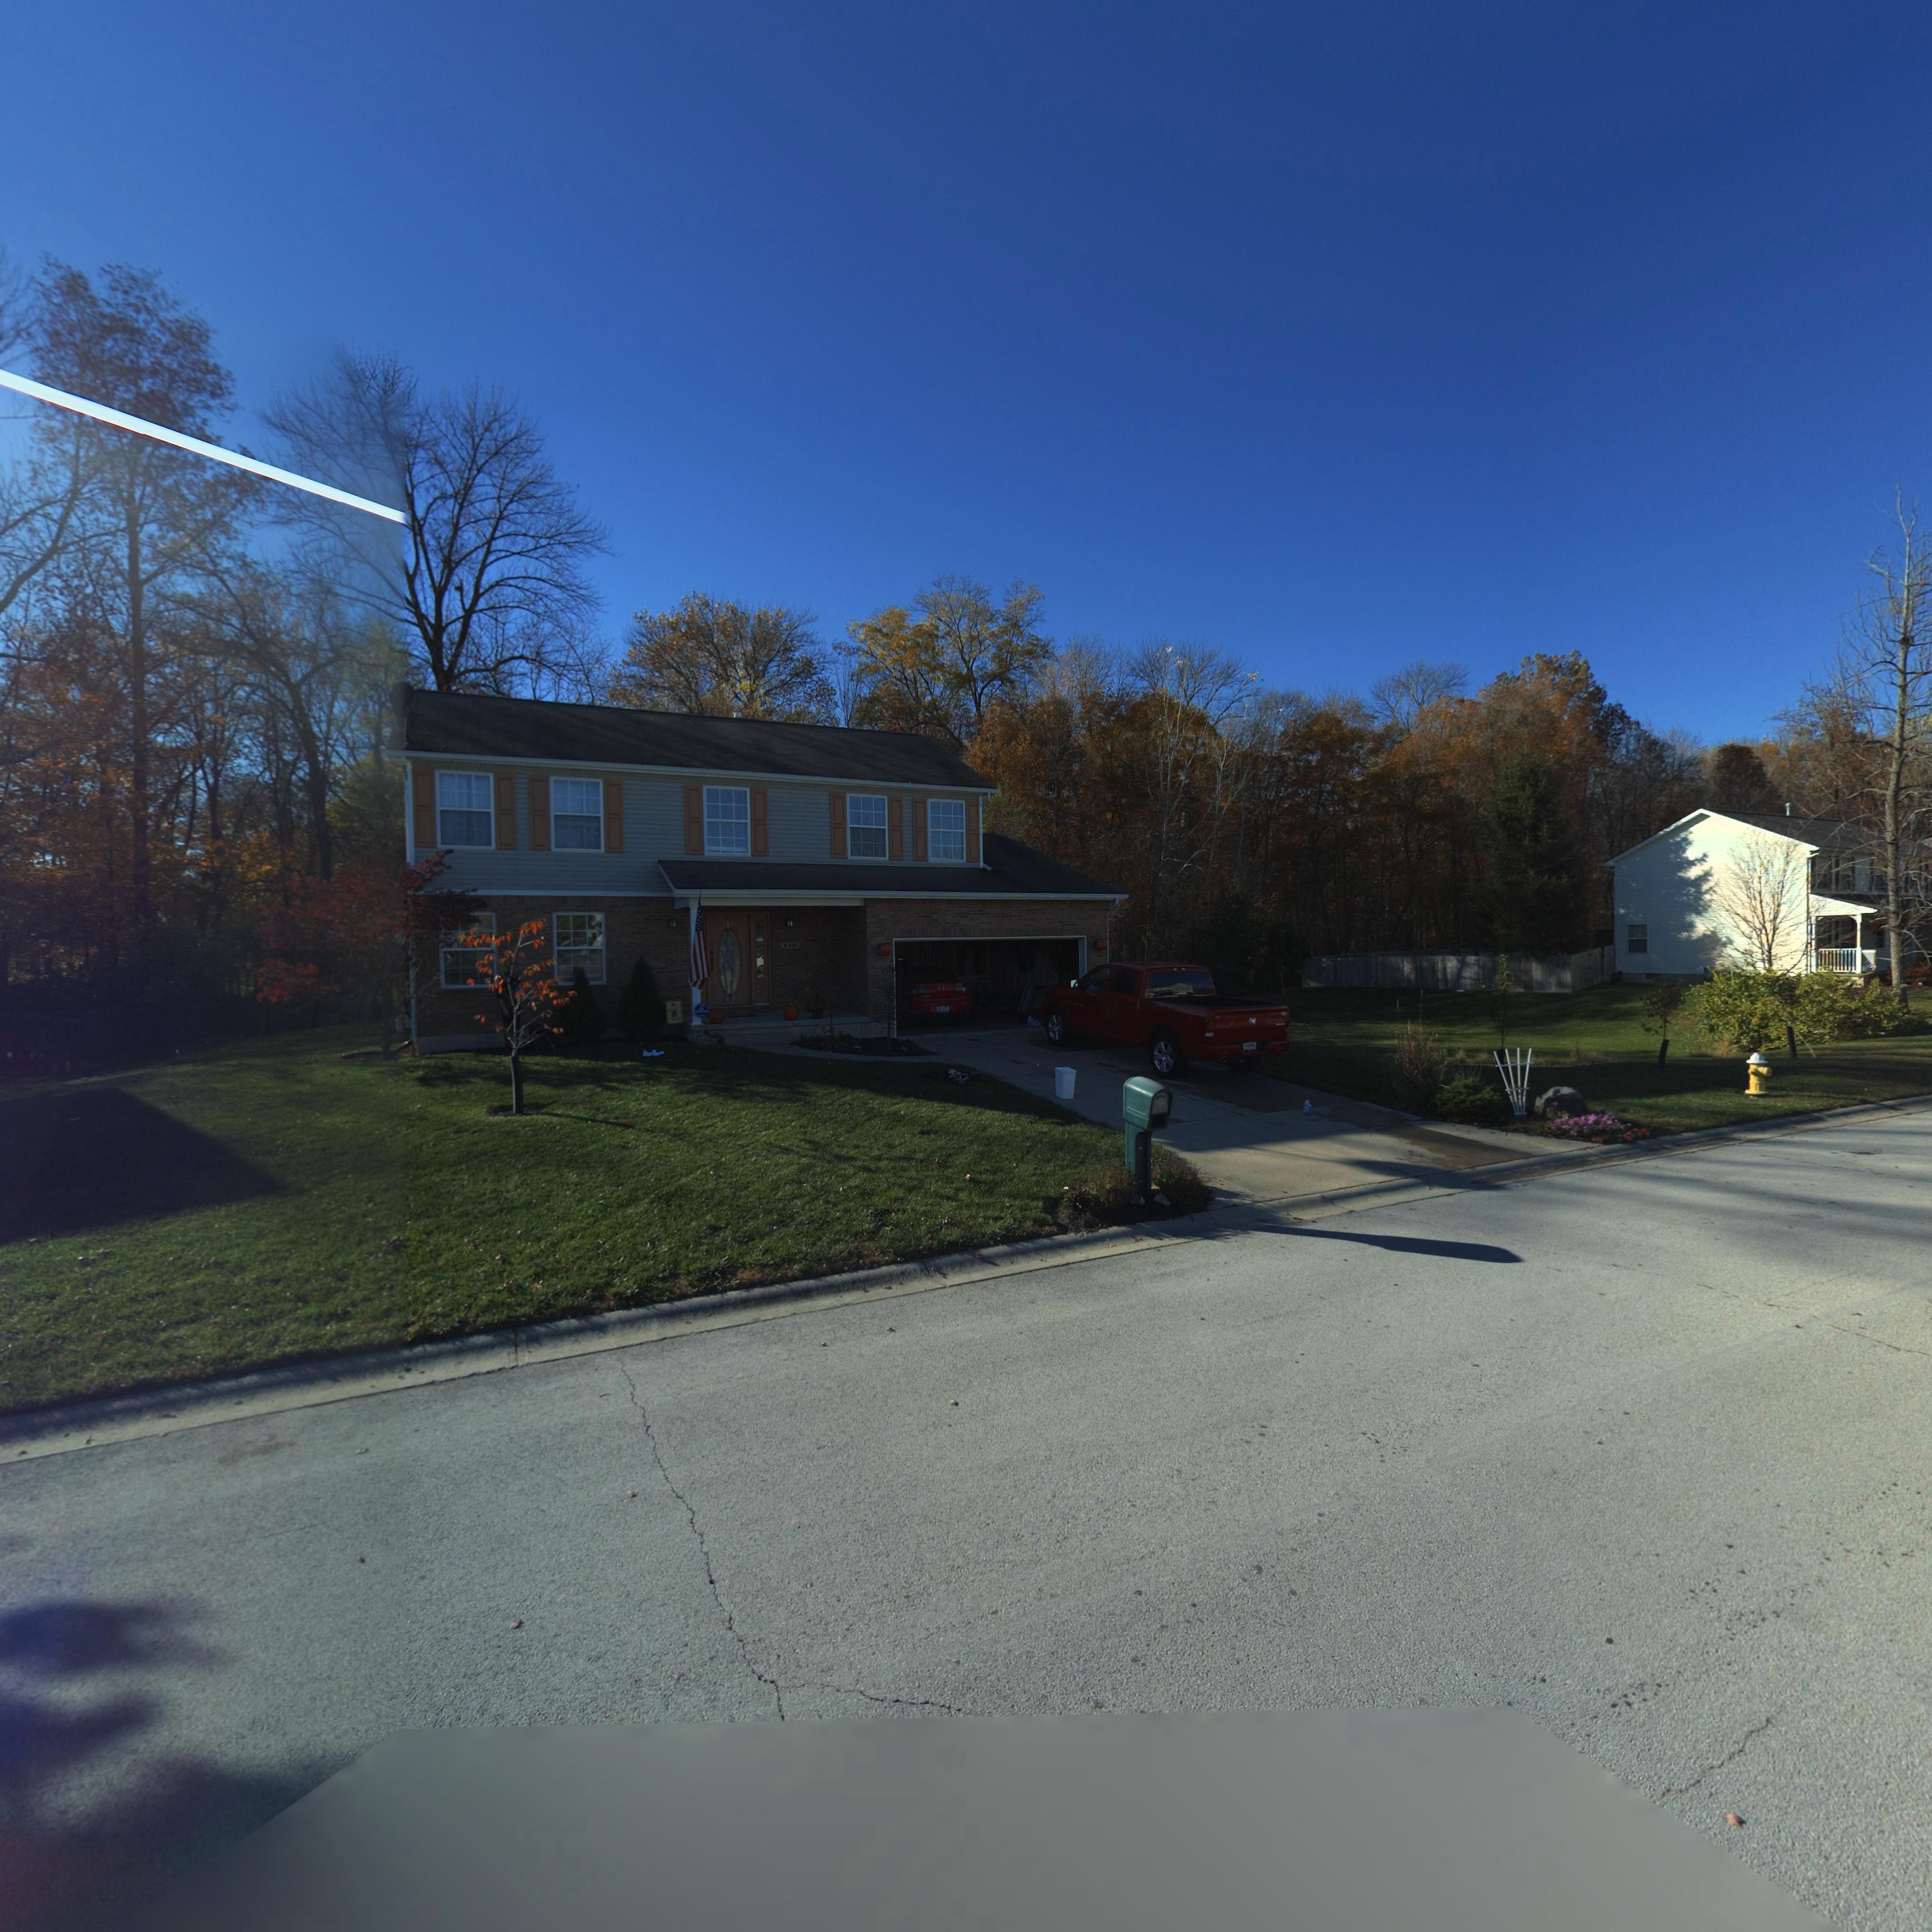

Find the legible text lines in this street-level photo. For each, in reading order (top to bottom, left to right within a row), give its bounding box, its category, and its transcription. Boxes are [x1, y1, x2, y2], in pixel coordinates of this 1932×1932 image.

[783, 943, 797, 948] StreetNumber: 633*